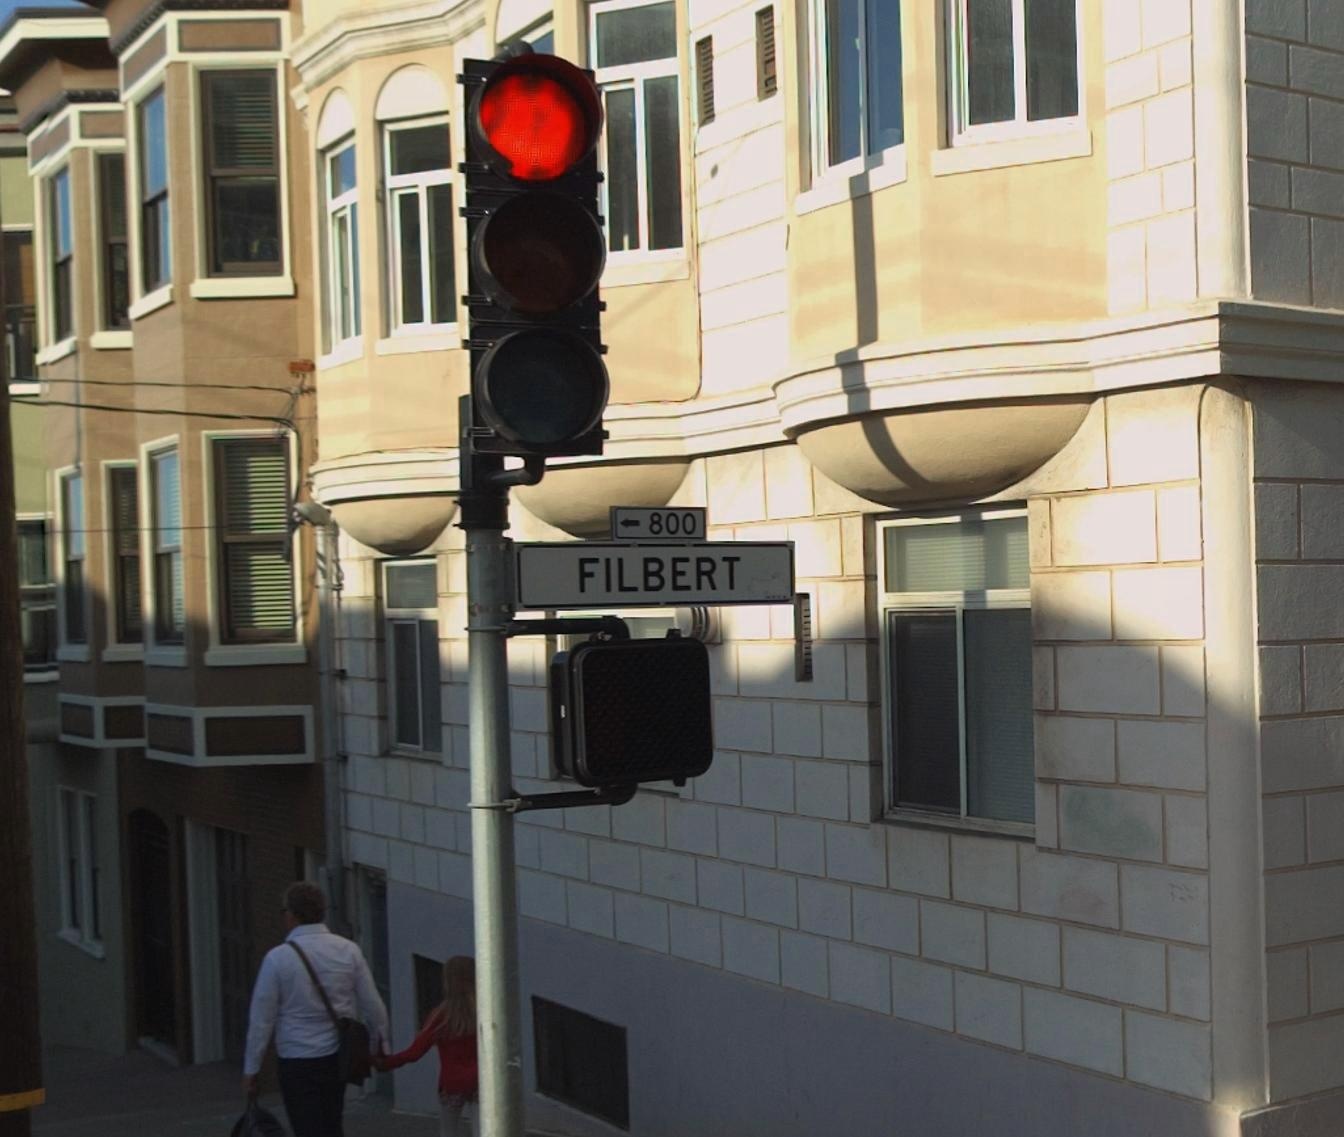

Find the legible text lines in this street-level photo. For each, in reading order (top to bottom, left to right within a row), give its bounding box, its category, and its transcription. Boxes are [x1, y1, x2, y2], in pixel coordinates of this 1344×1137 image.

[614, 509, 699, 537] StreetNumberRange: <-800
[575, 553, 745, 596] StreetName: FILBERT